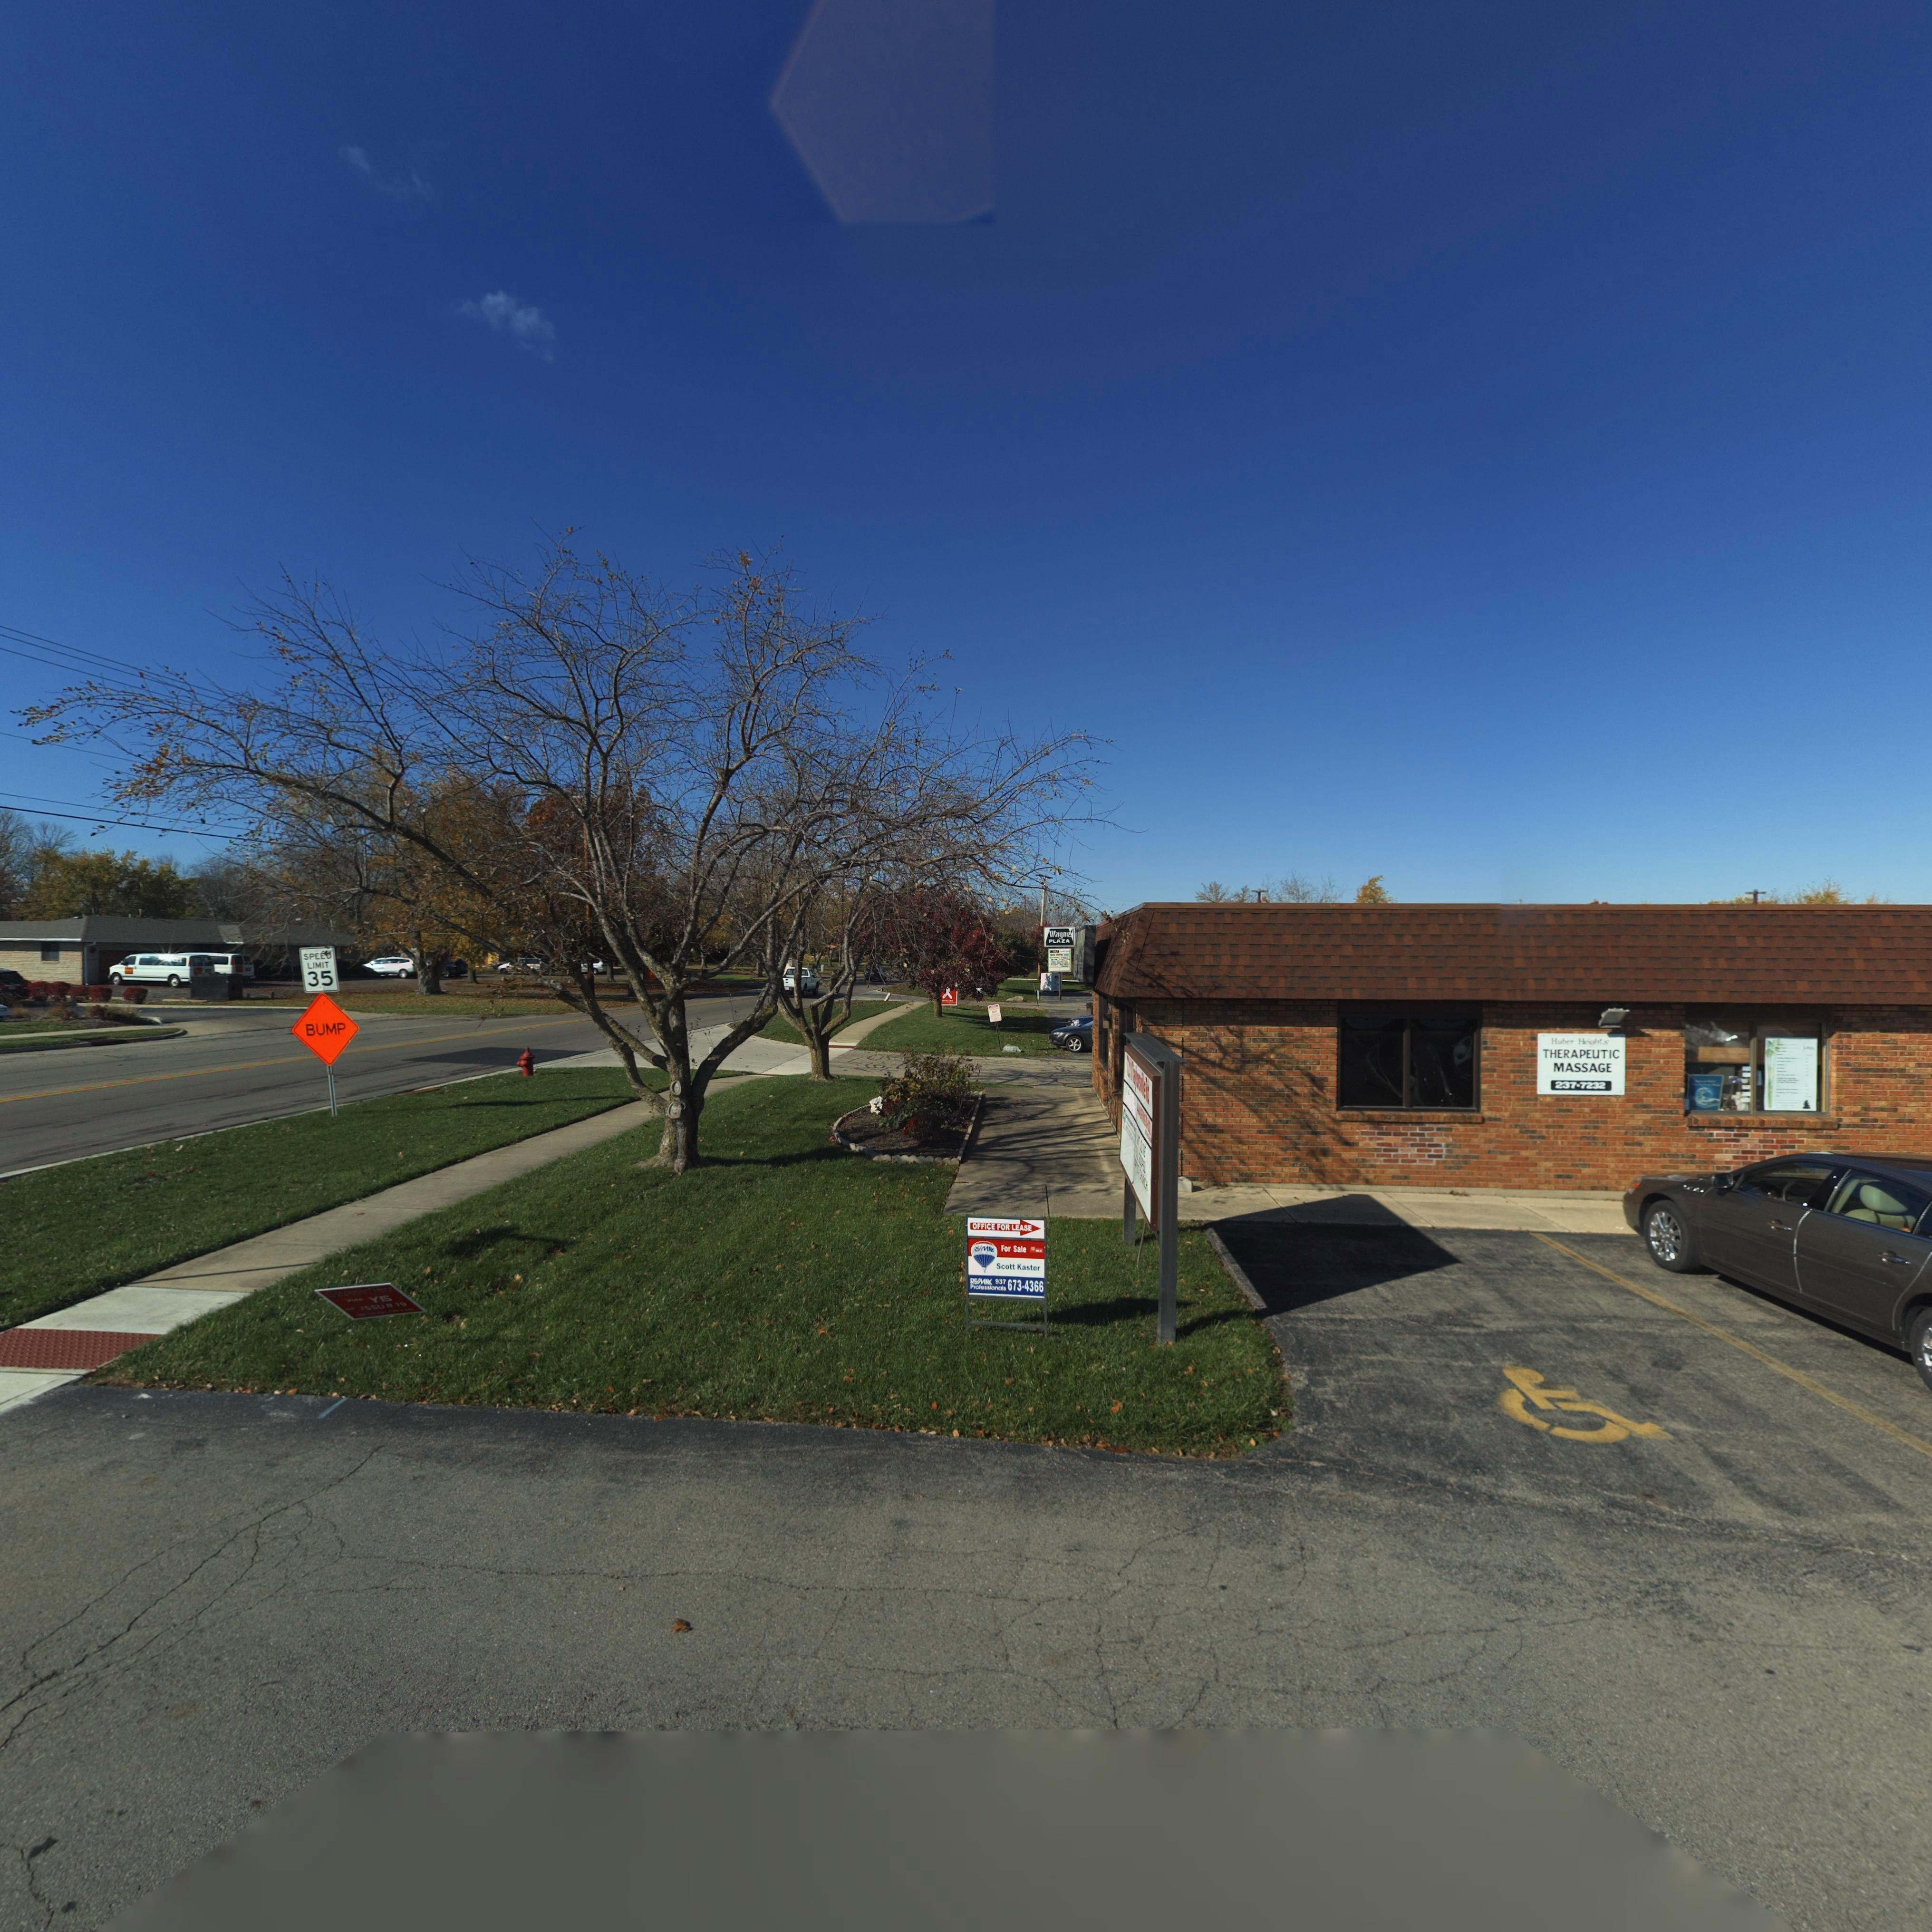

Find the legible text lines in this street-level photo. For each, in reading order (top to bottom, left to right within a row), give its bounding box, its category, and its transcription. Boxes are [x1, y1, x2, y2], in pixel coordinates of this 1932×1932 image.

[1550, 1037, 1611, 1048] BusinessName: Huber Heights
[1542, 1048, 1620, 1059] BusinessName: THERAPEUTIC
[1126, 1053, 1130, 1077] StreetNumber: 7
[1553, 1062, 1613, 1073] BusinessName: MASSAGE